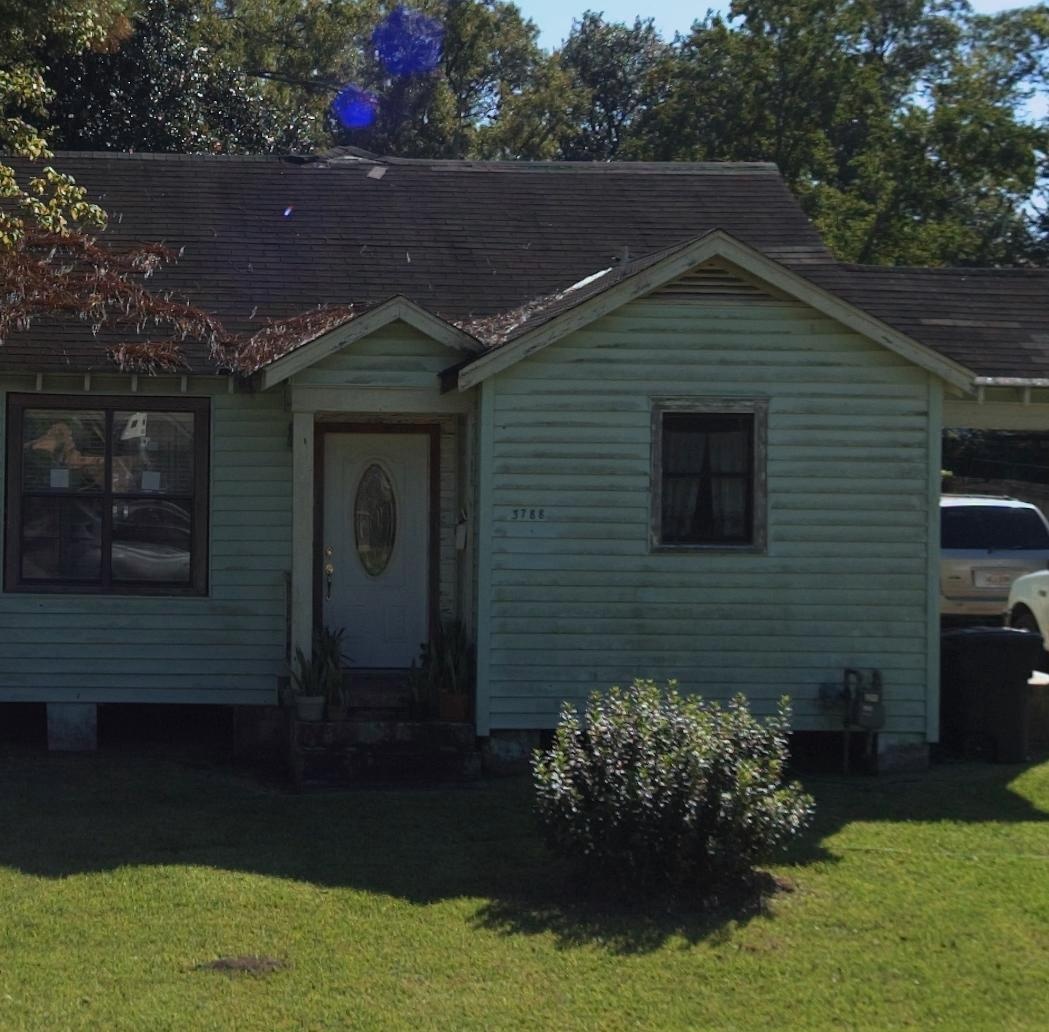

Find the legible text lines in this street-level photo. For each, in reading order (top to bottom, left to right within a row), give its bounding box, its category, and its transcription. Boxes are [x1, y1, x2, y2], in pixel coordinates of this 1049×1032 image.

[510, 508, 546, 521] StreetNumber: 3788